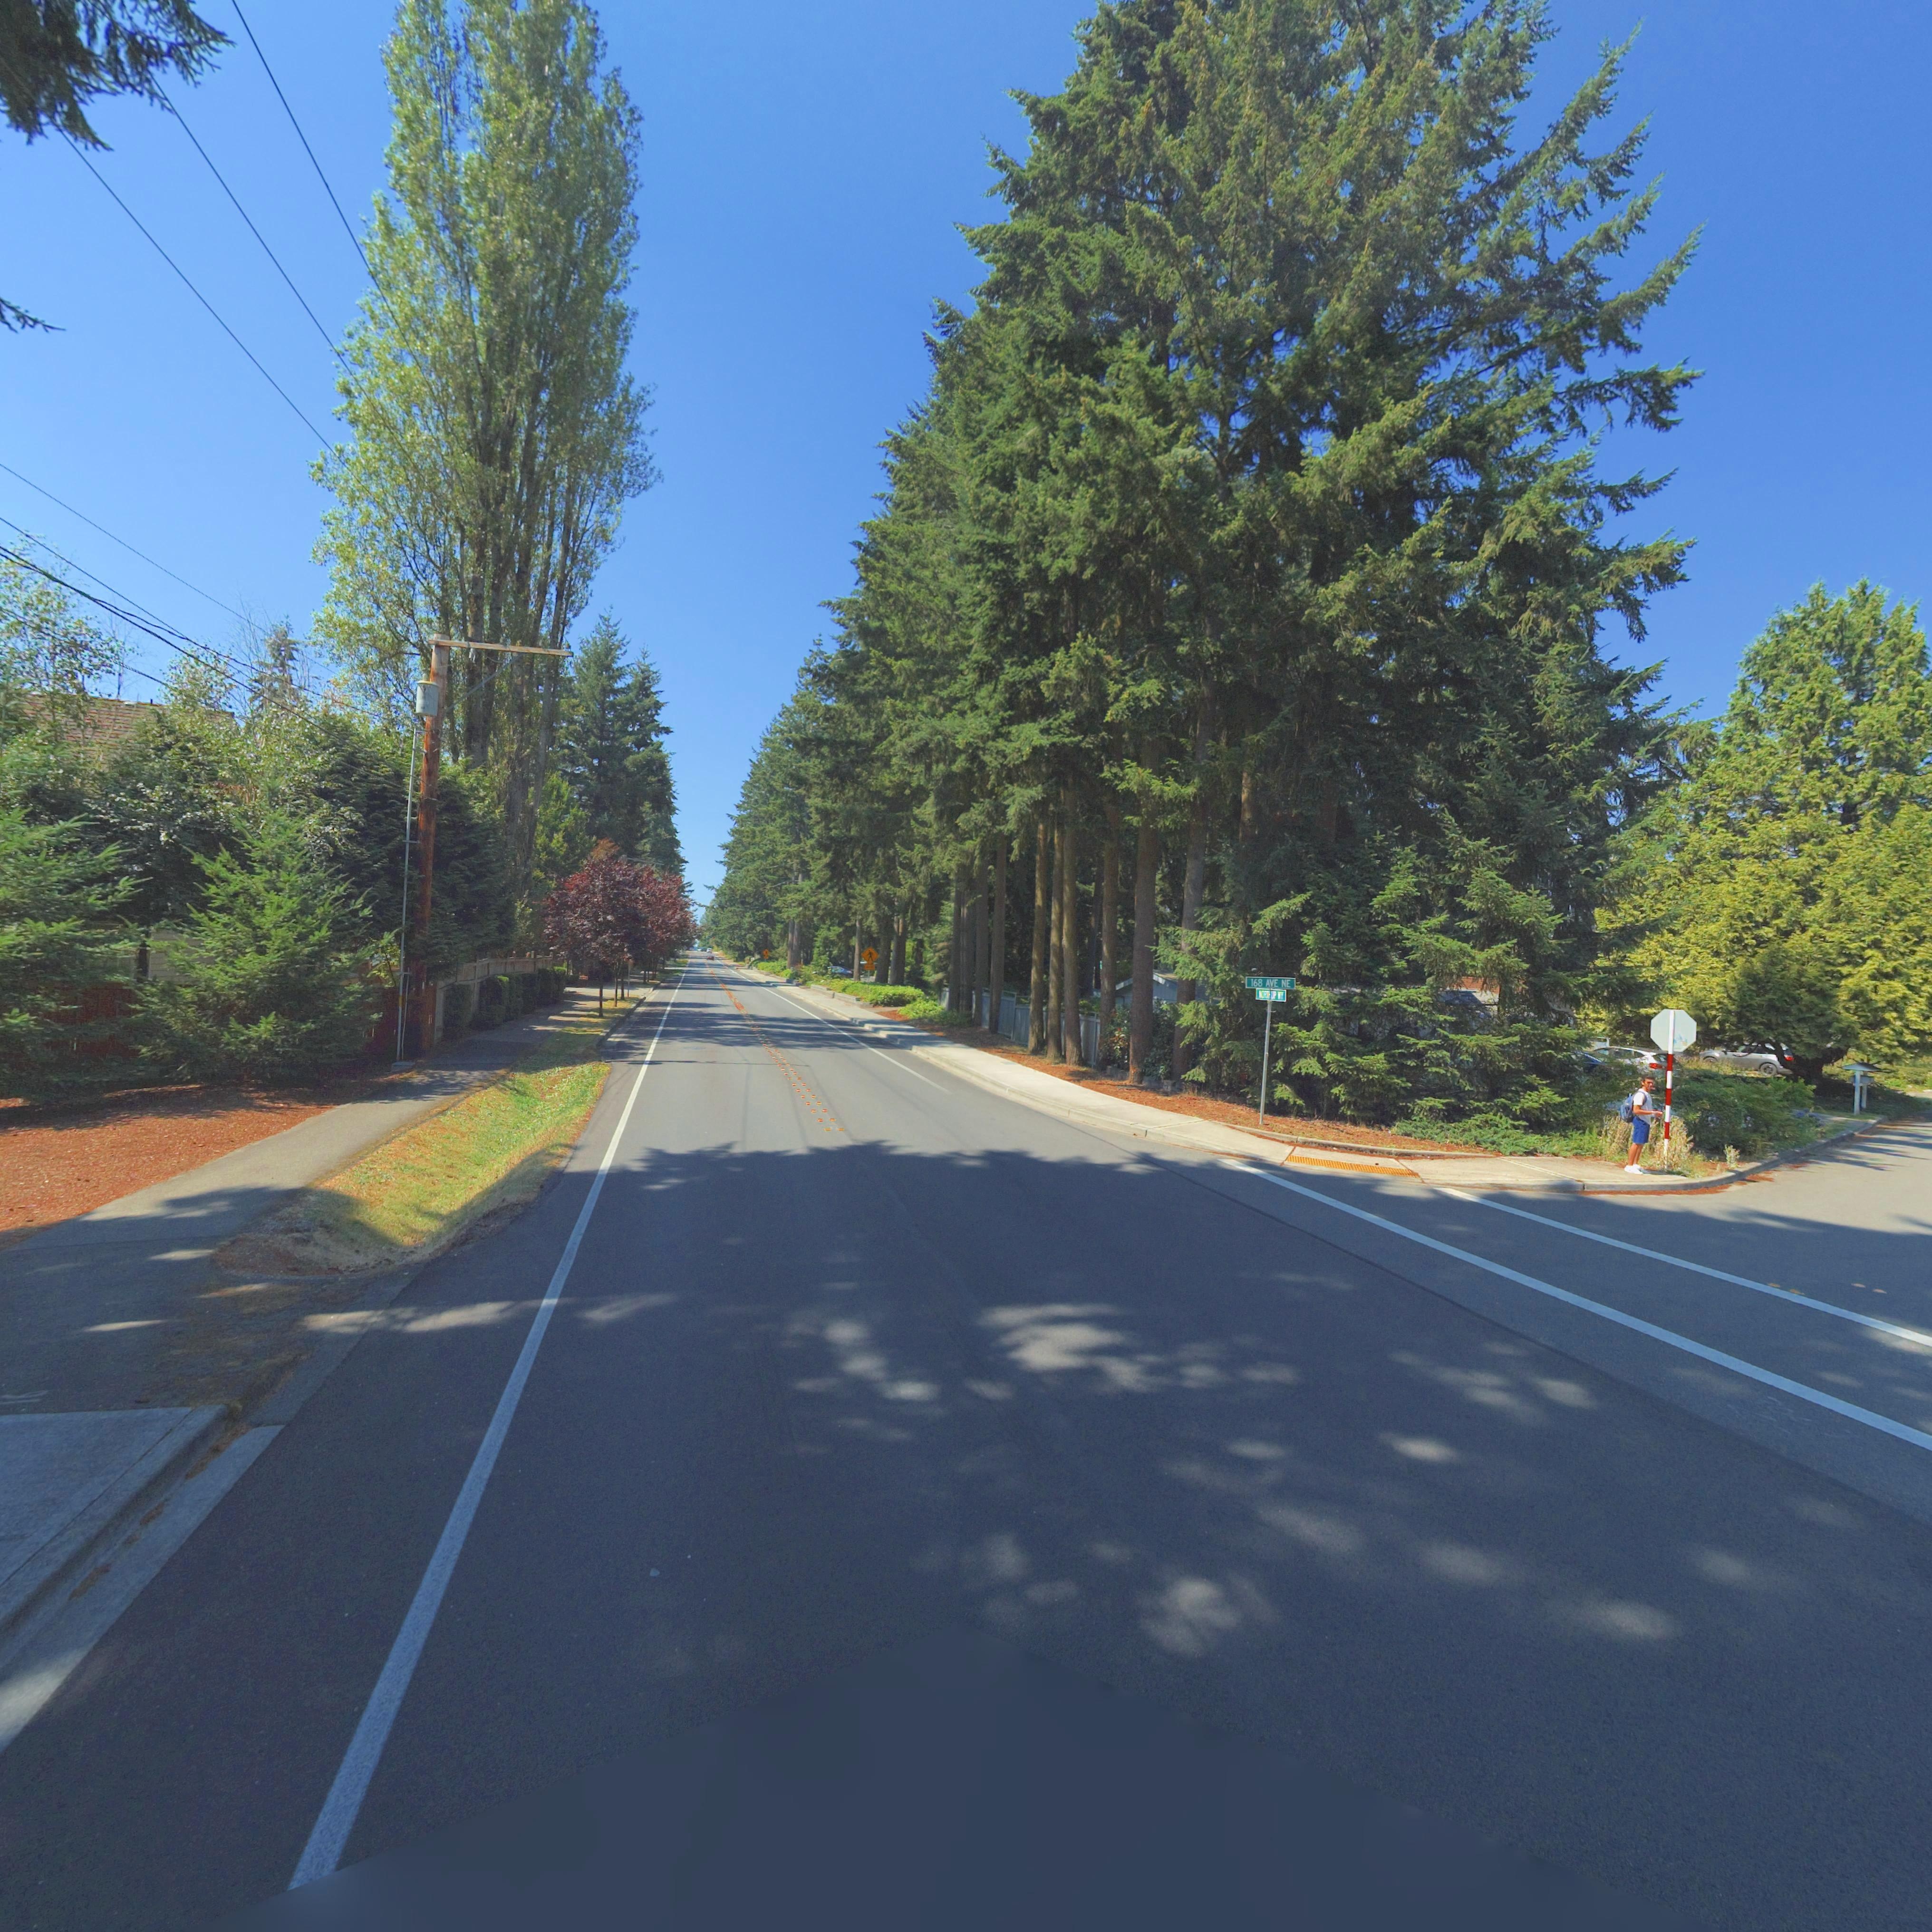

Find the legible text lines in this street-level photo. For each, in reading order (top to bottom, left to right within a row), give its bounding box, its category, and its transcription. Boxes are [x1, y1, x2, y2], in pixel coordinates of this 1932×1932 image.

[1250, 978, 1290, 987] StreetName: 168 AVE NE
[1258, 989, 1283, 1000] StreetName: NORT*UP WY